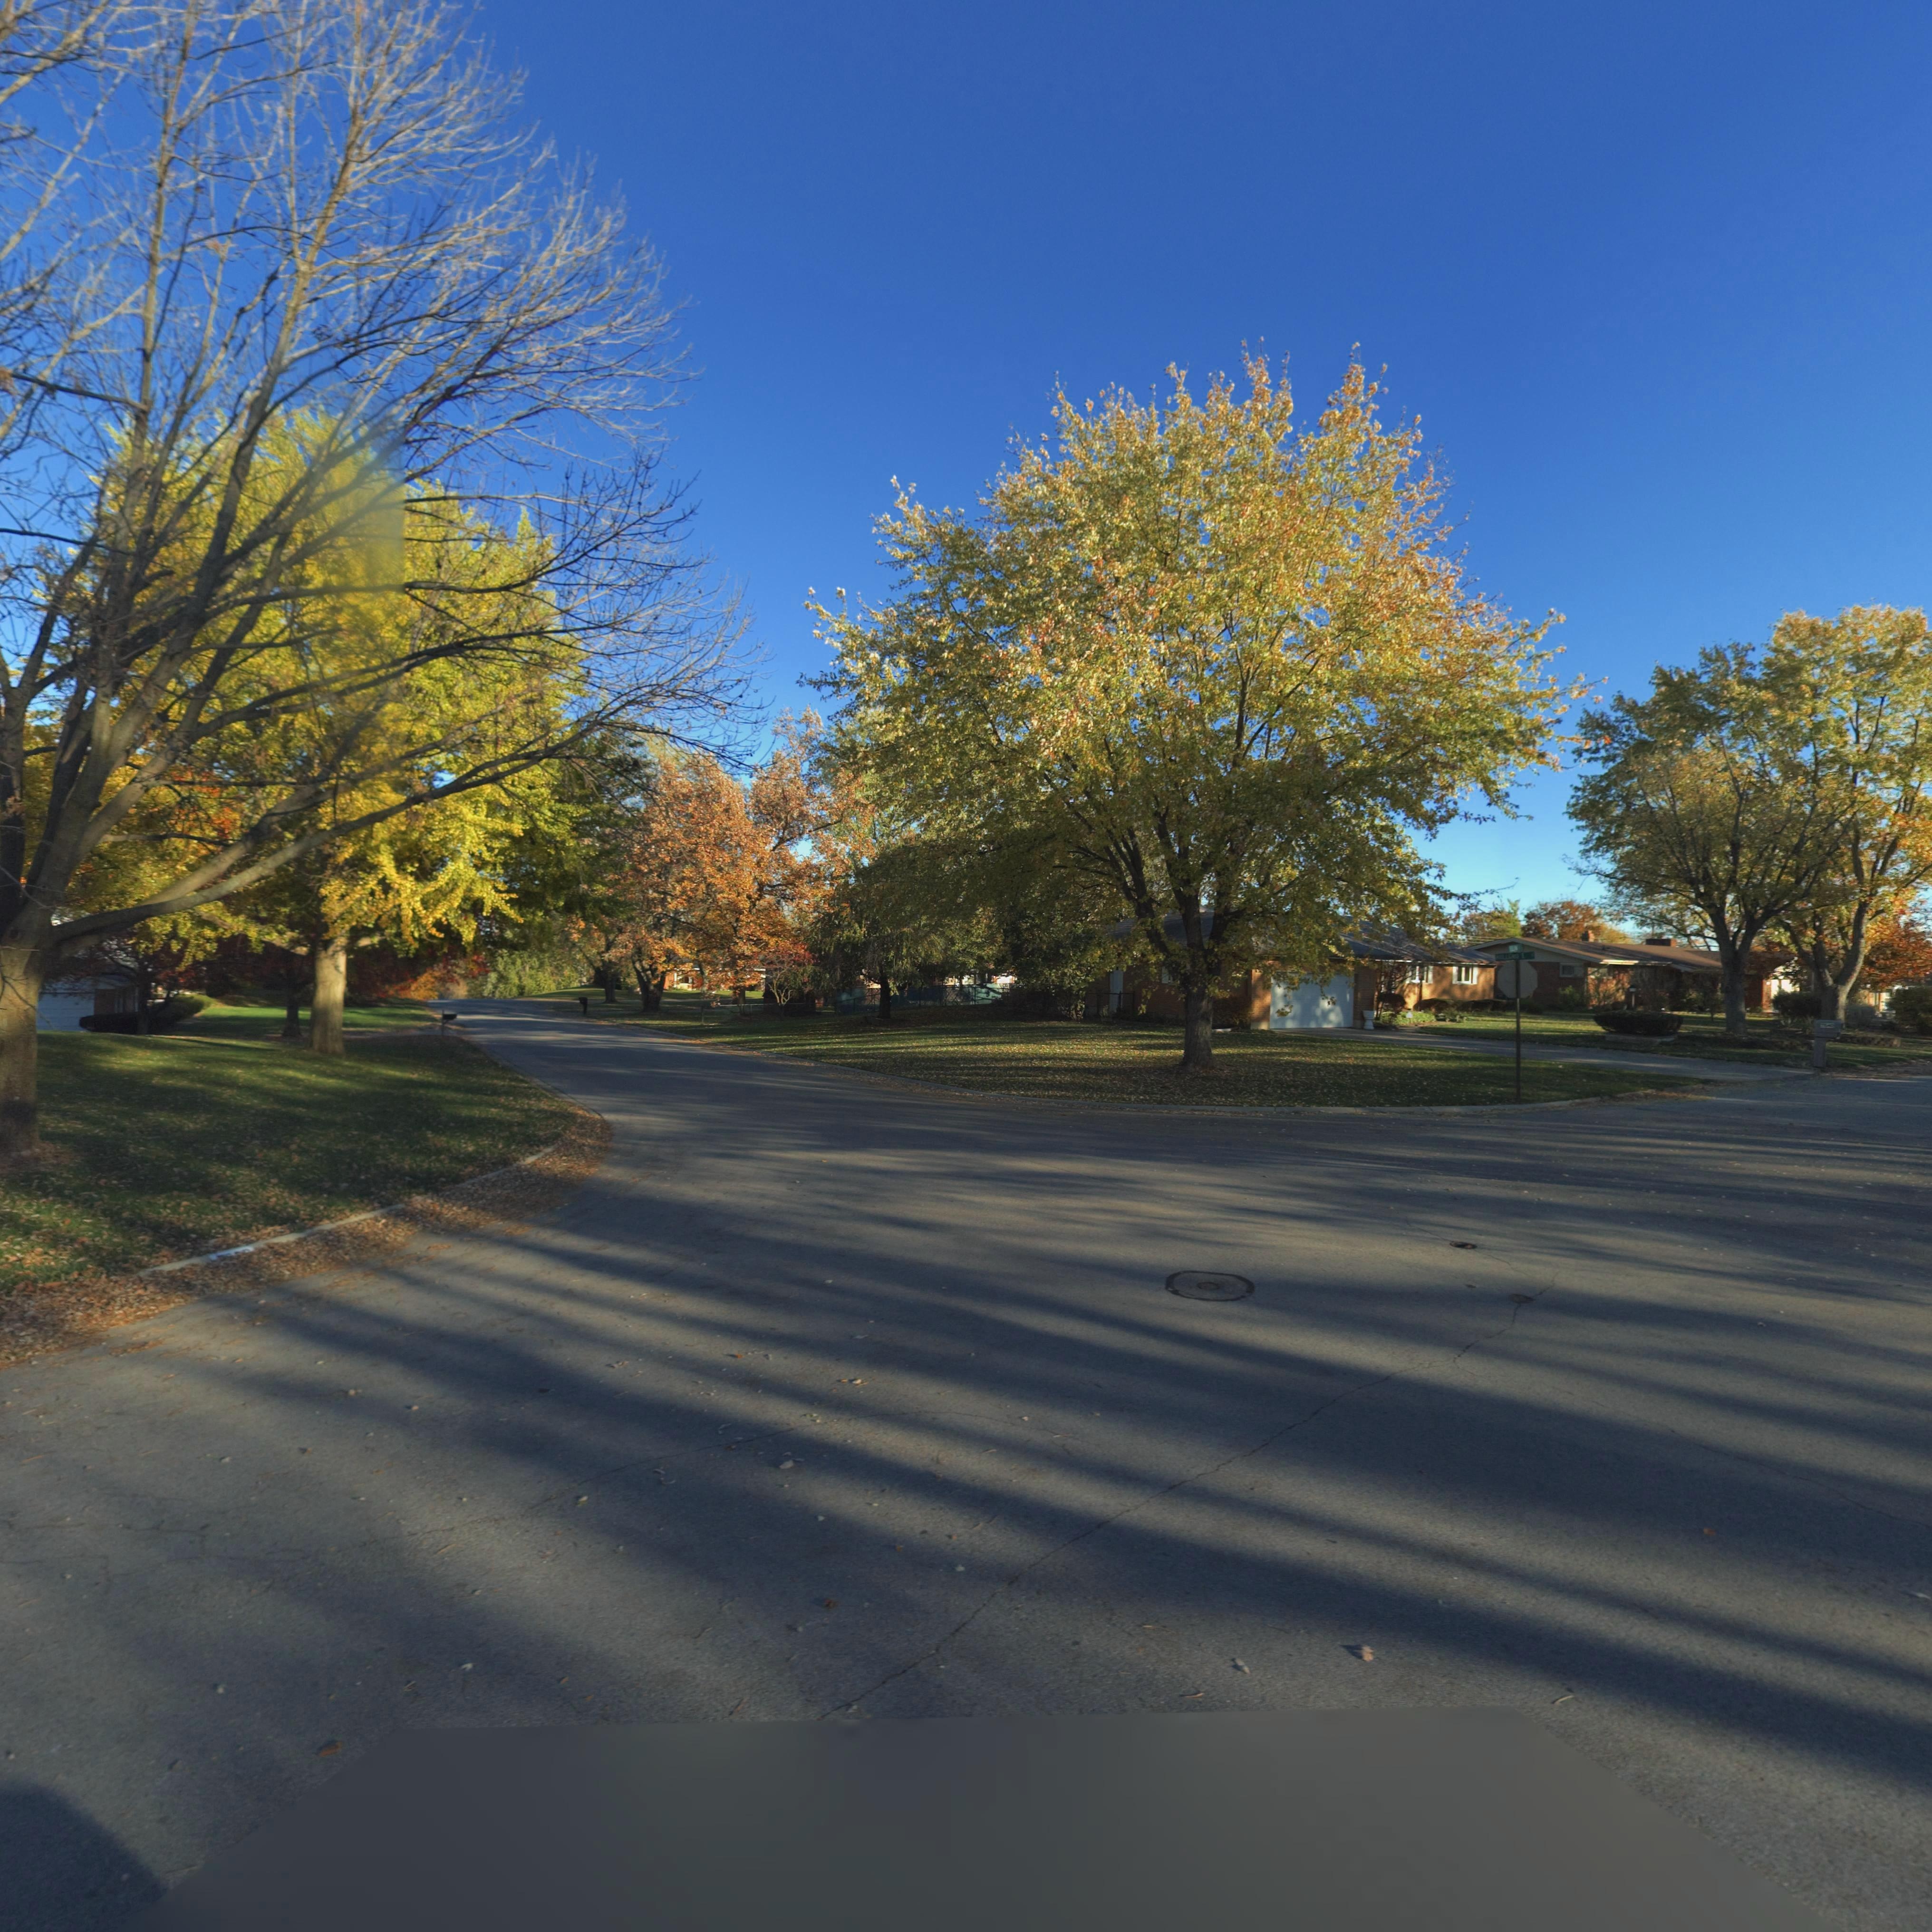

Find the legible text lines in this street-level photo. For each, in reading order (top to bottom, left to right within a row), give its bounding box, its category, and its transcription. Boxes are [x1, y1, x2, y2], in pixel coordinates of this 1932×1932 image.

[1820, 1023, 1835, 1028] StreetNumber: 7*40